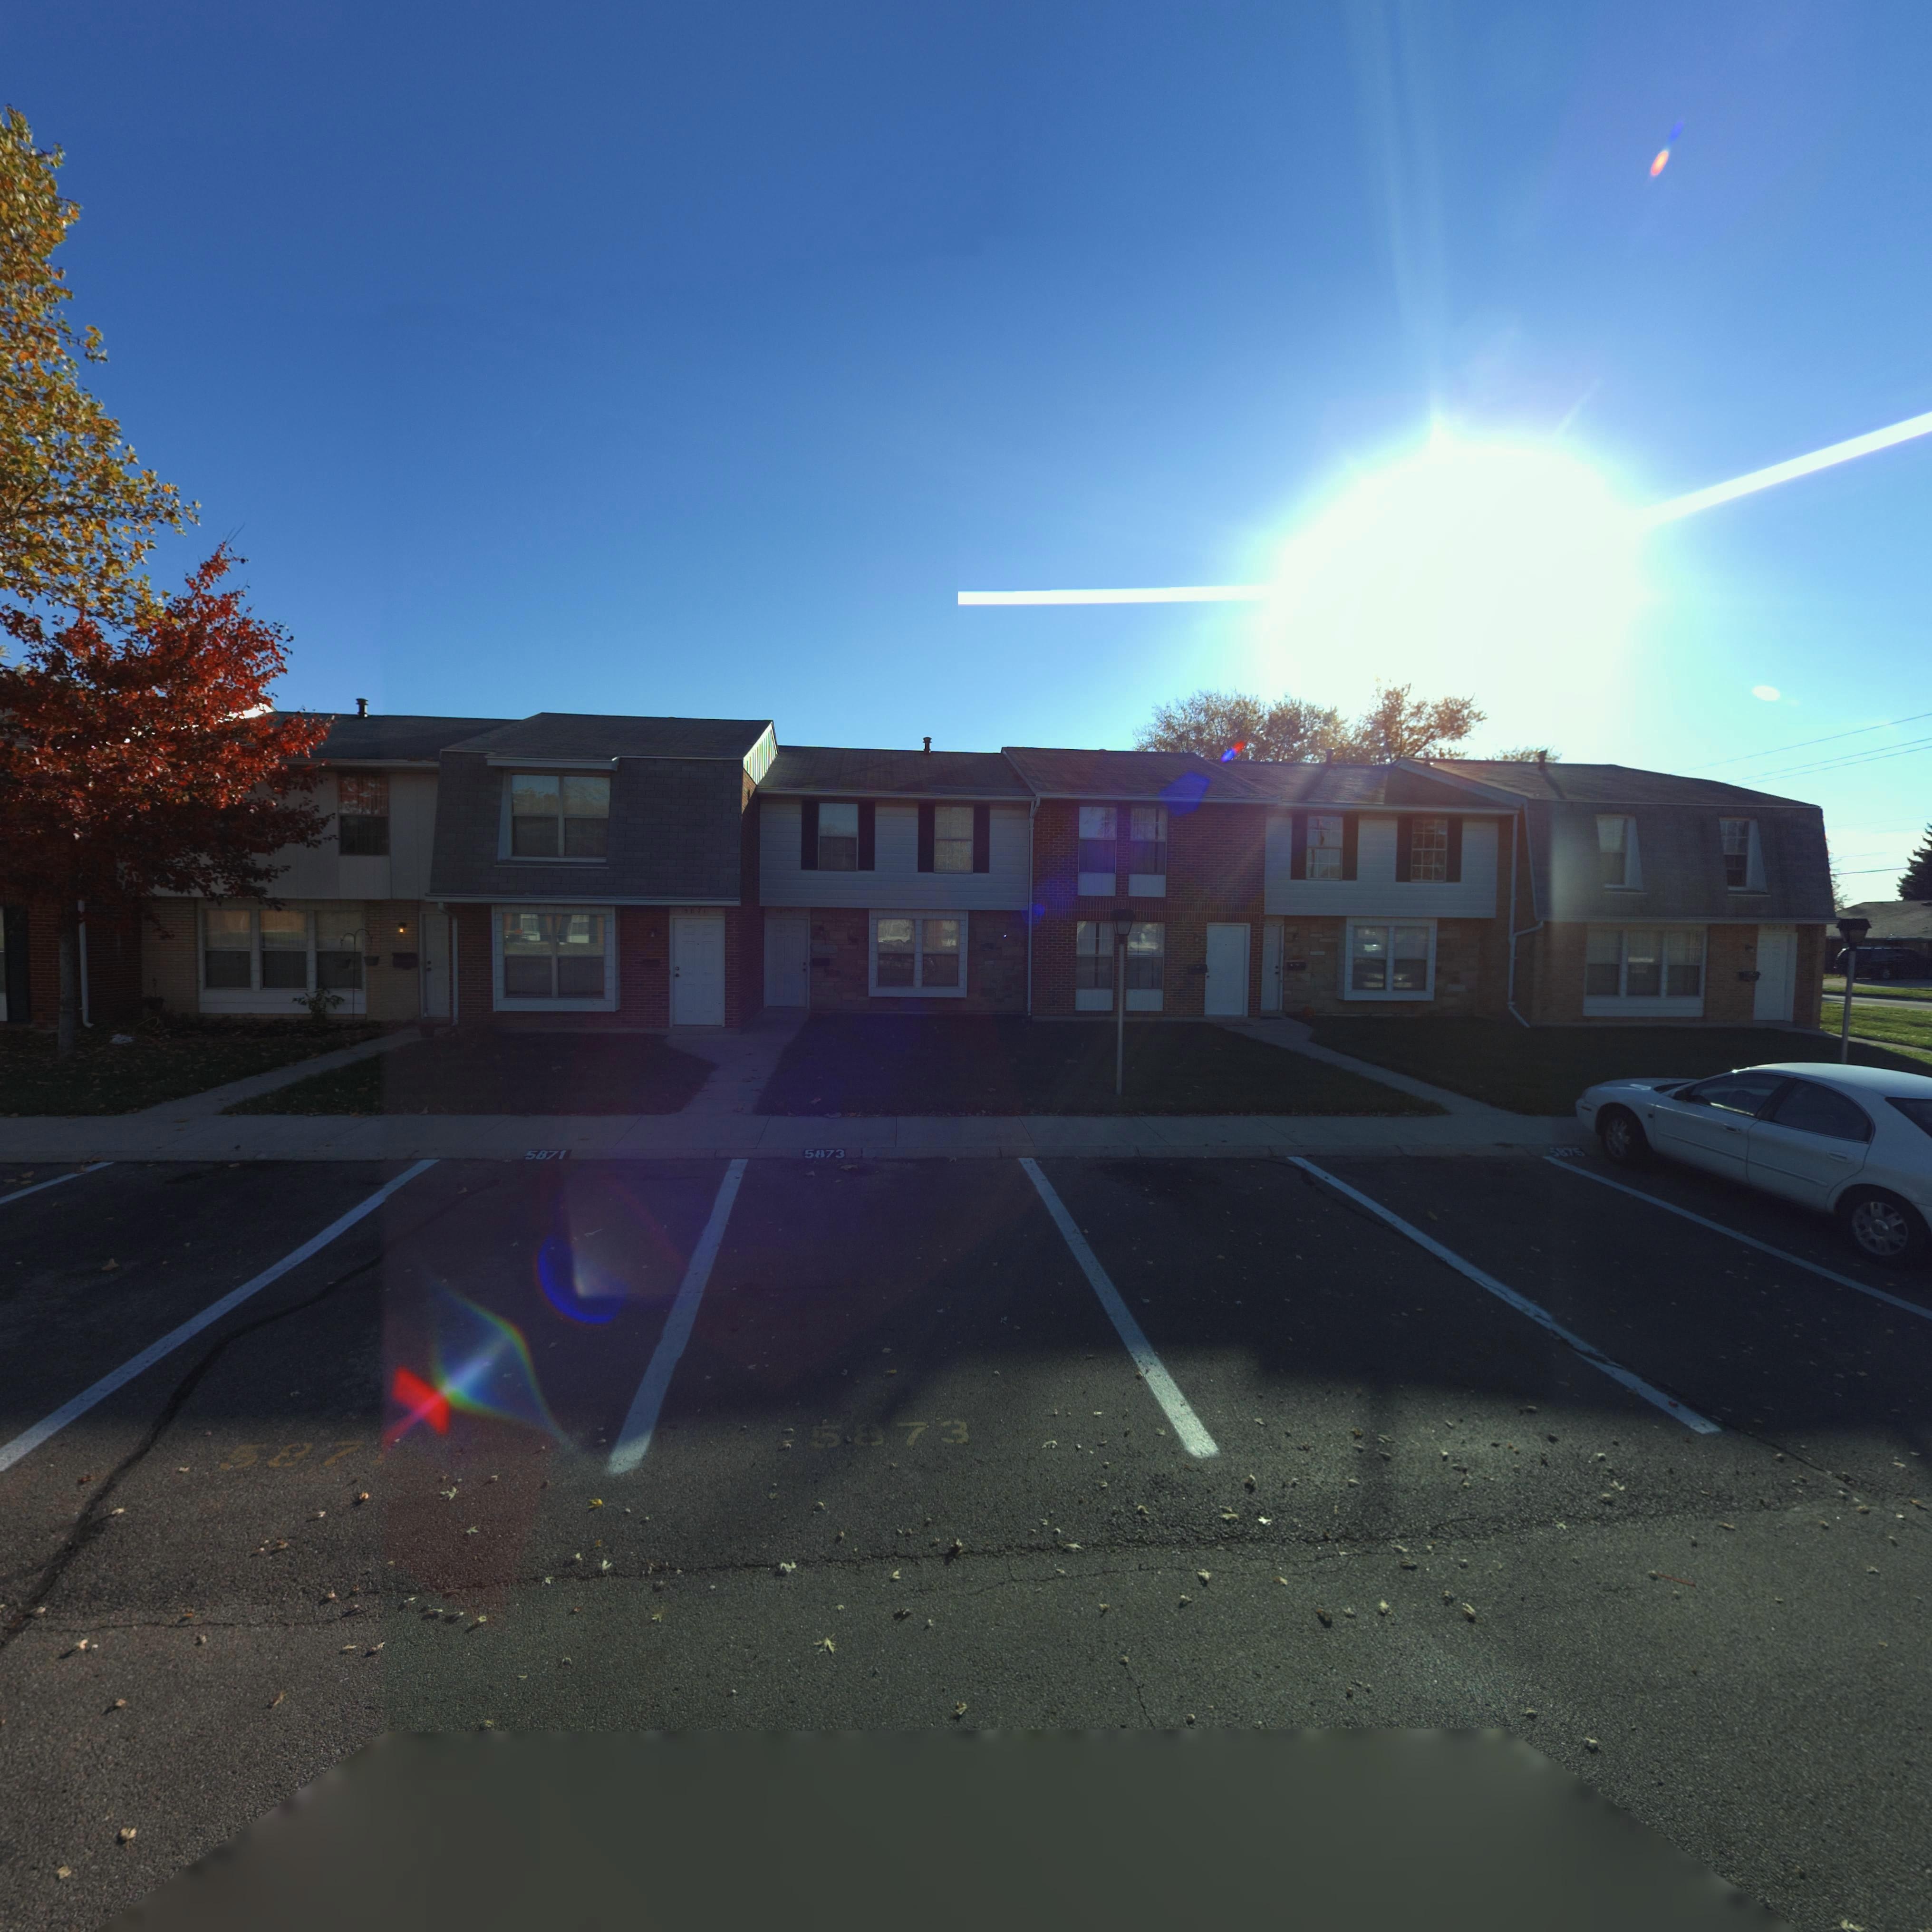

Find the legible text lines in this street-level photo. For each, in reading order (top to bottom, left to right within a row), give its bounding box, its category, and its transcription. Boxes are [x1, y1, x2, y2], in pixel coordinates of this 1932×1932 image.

[683, 907, 707, 915] StreetNumber: 5871
[523, 1149, 568, 1161] StreetNumber: 5871
[804, 1148, 846, 1159] StreetNumber: 5873
[1547, 1146, 1587, 1159] StreetNumber: *875
[807, 1418, 973, 1452] StreetNumber: 5873
[215, 1436, 395, 1473] StreetNumber: 587*